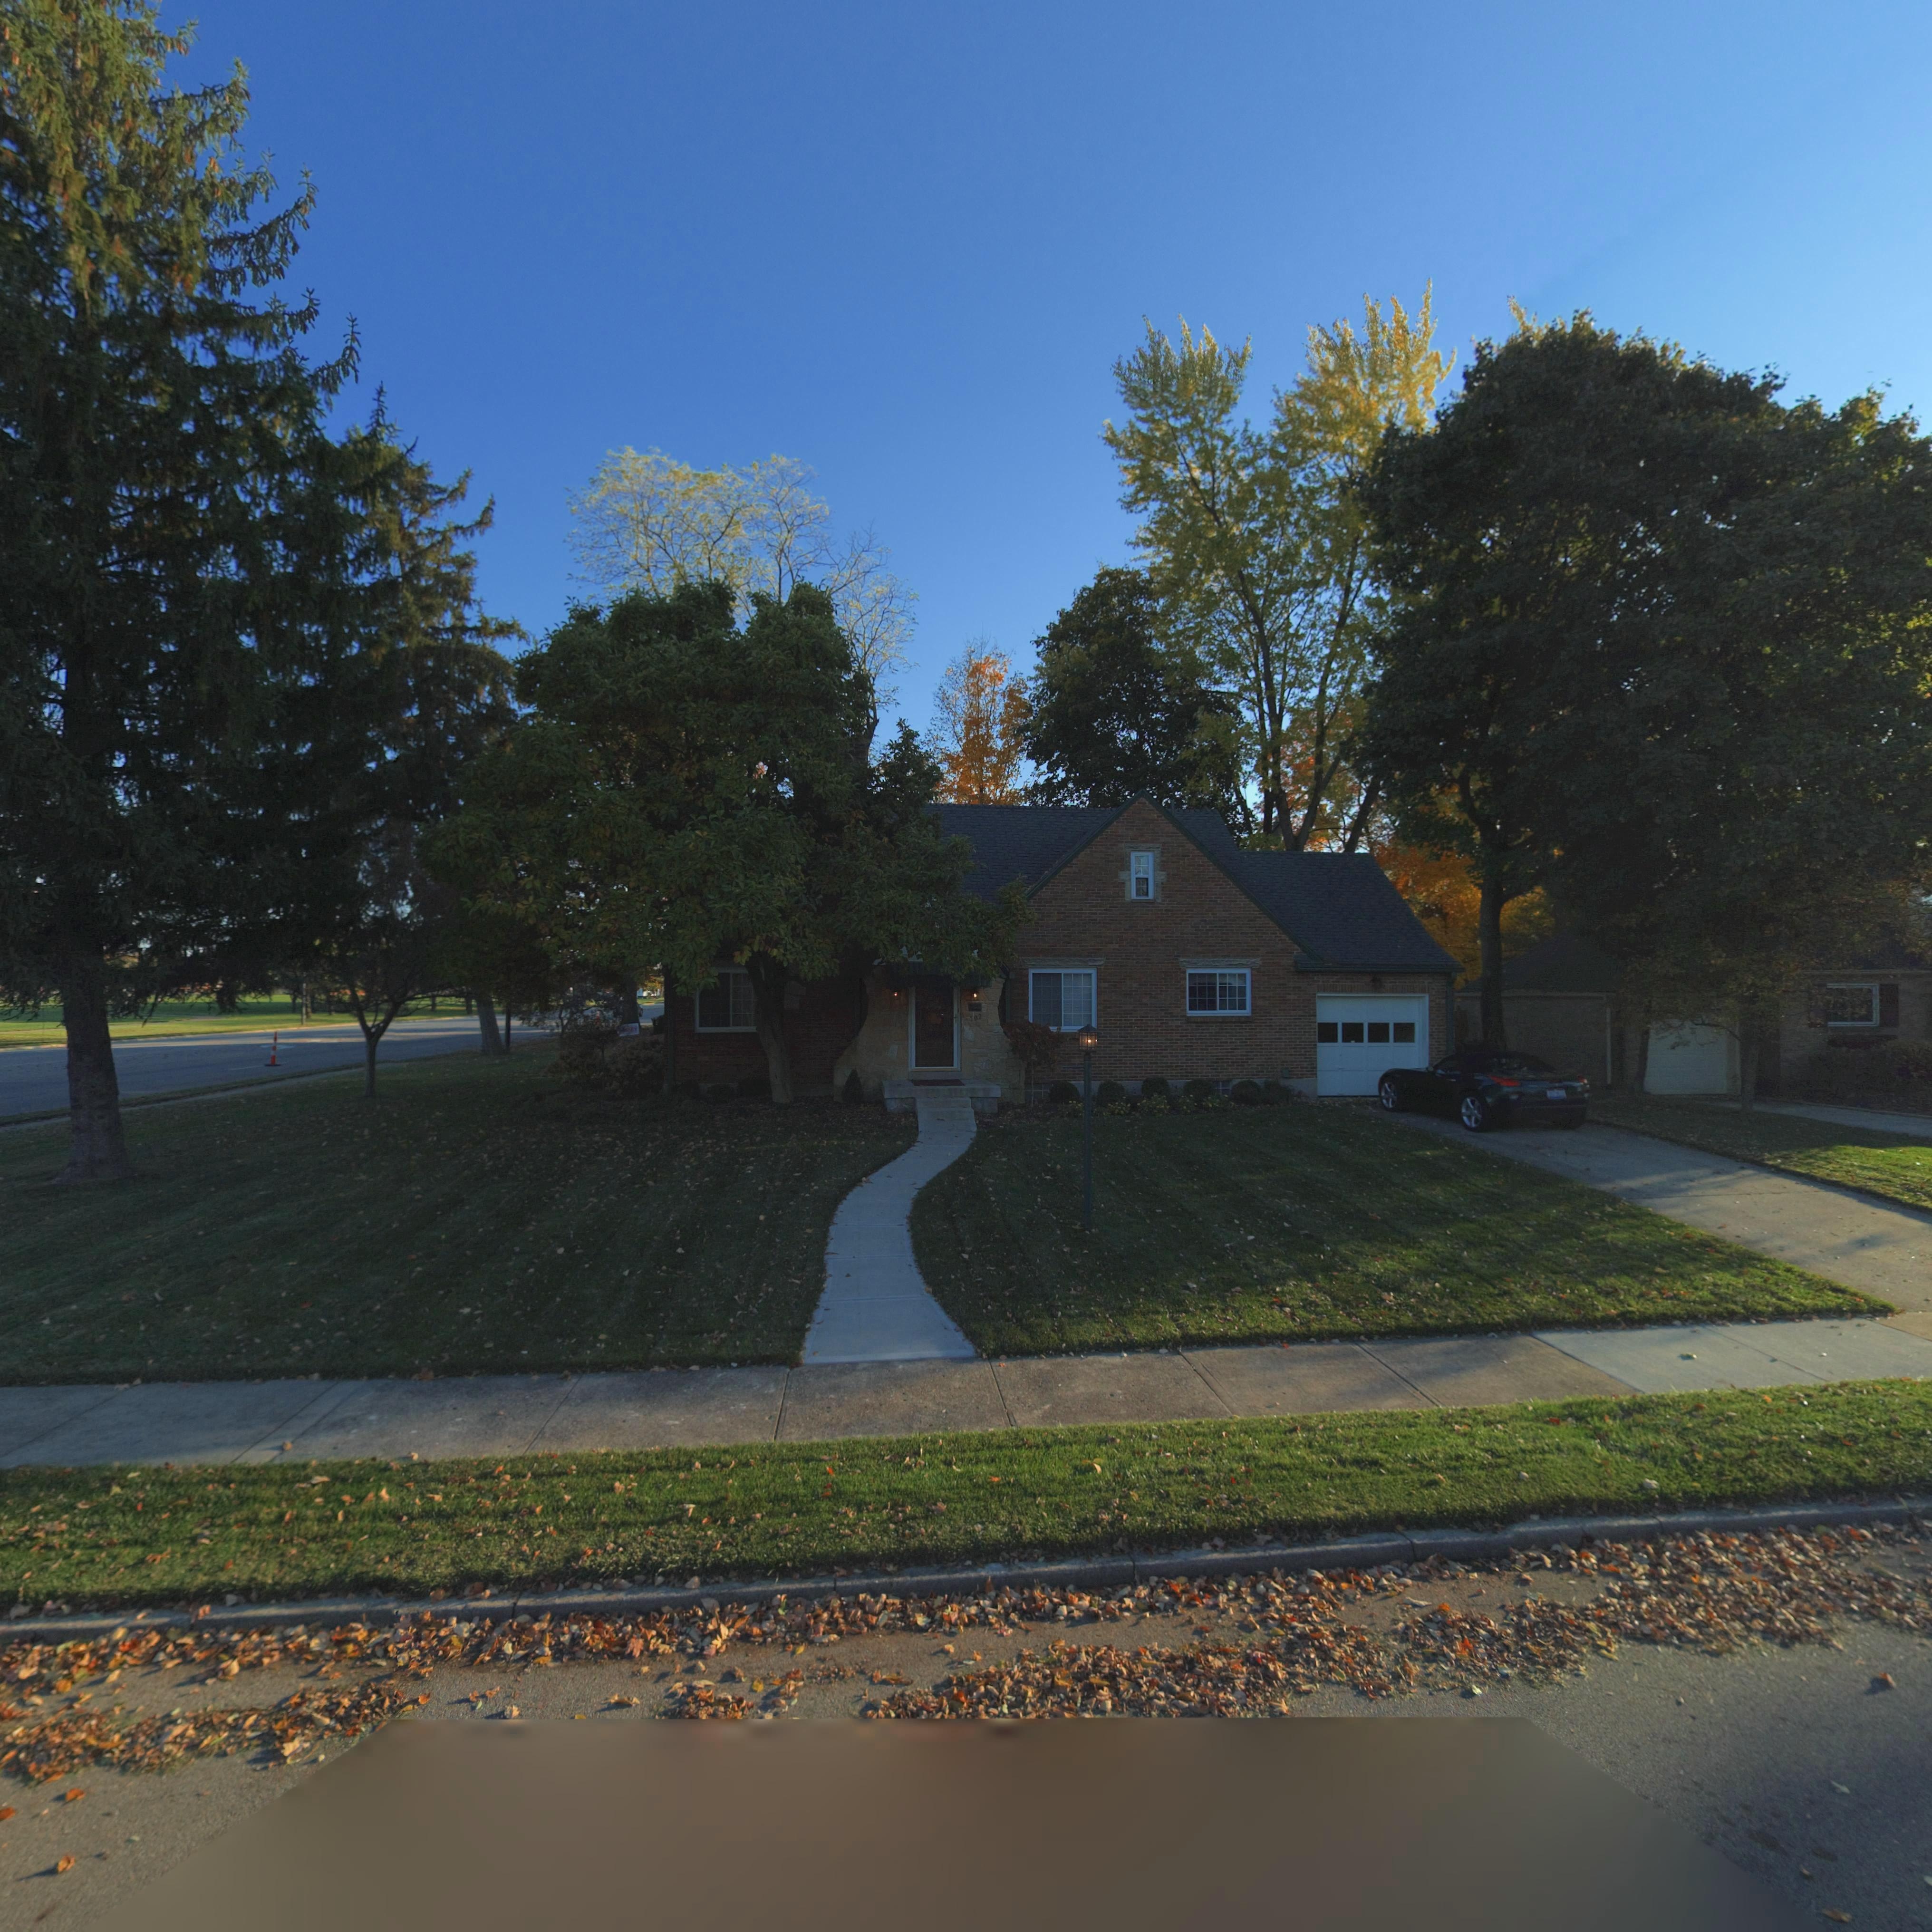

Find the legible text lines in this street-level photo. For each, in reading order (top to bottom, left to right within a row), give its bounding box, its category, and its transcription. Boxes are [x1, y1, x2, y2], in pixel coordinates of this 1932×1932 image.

[968, 1012, 983, 1023] StreetNumber: 102